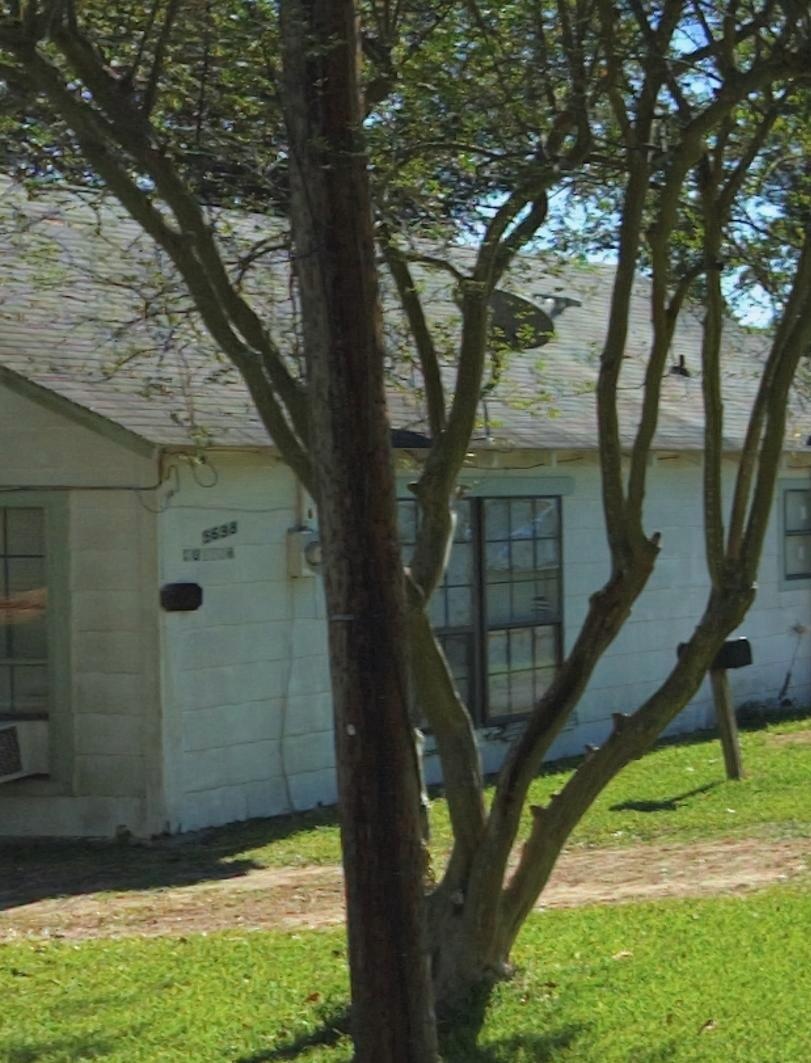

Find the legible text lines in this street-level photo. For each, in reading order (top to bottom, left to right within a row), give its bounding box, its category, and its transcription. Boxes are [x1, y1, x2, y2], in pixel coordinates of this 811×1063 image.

[201, 518, 239, 546] StreetNumber: 563*